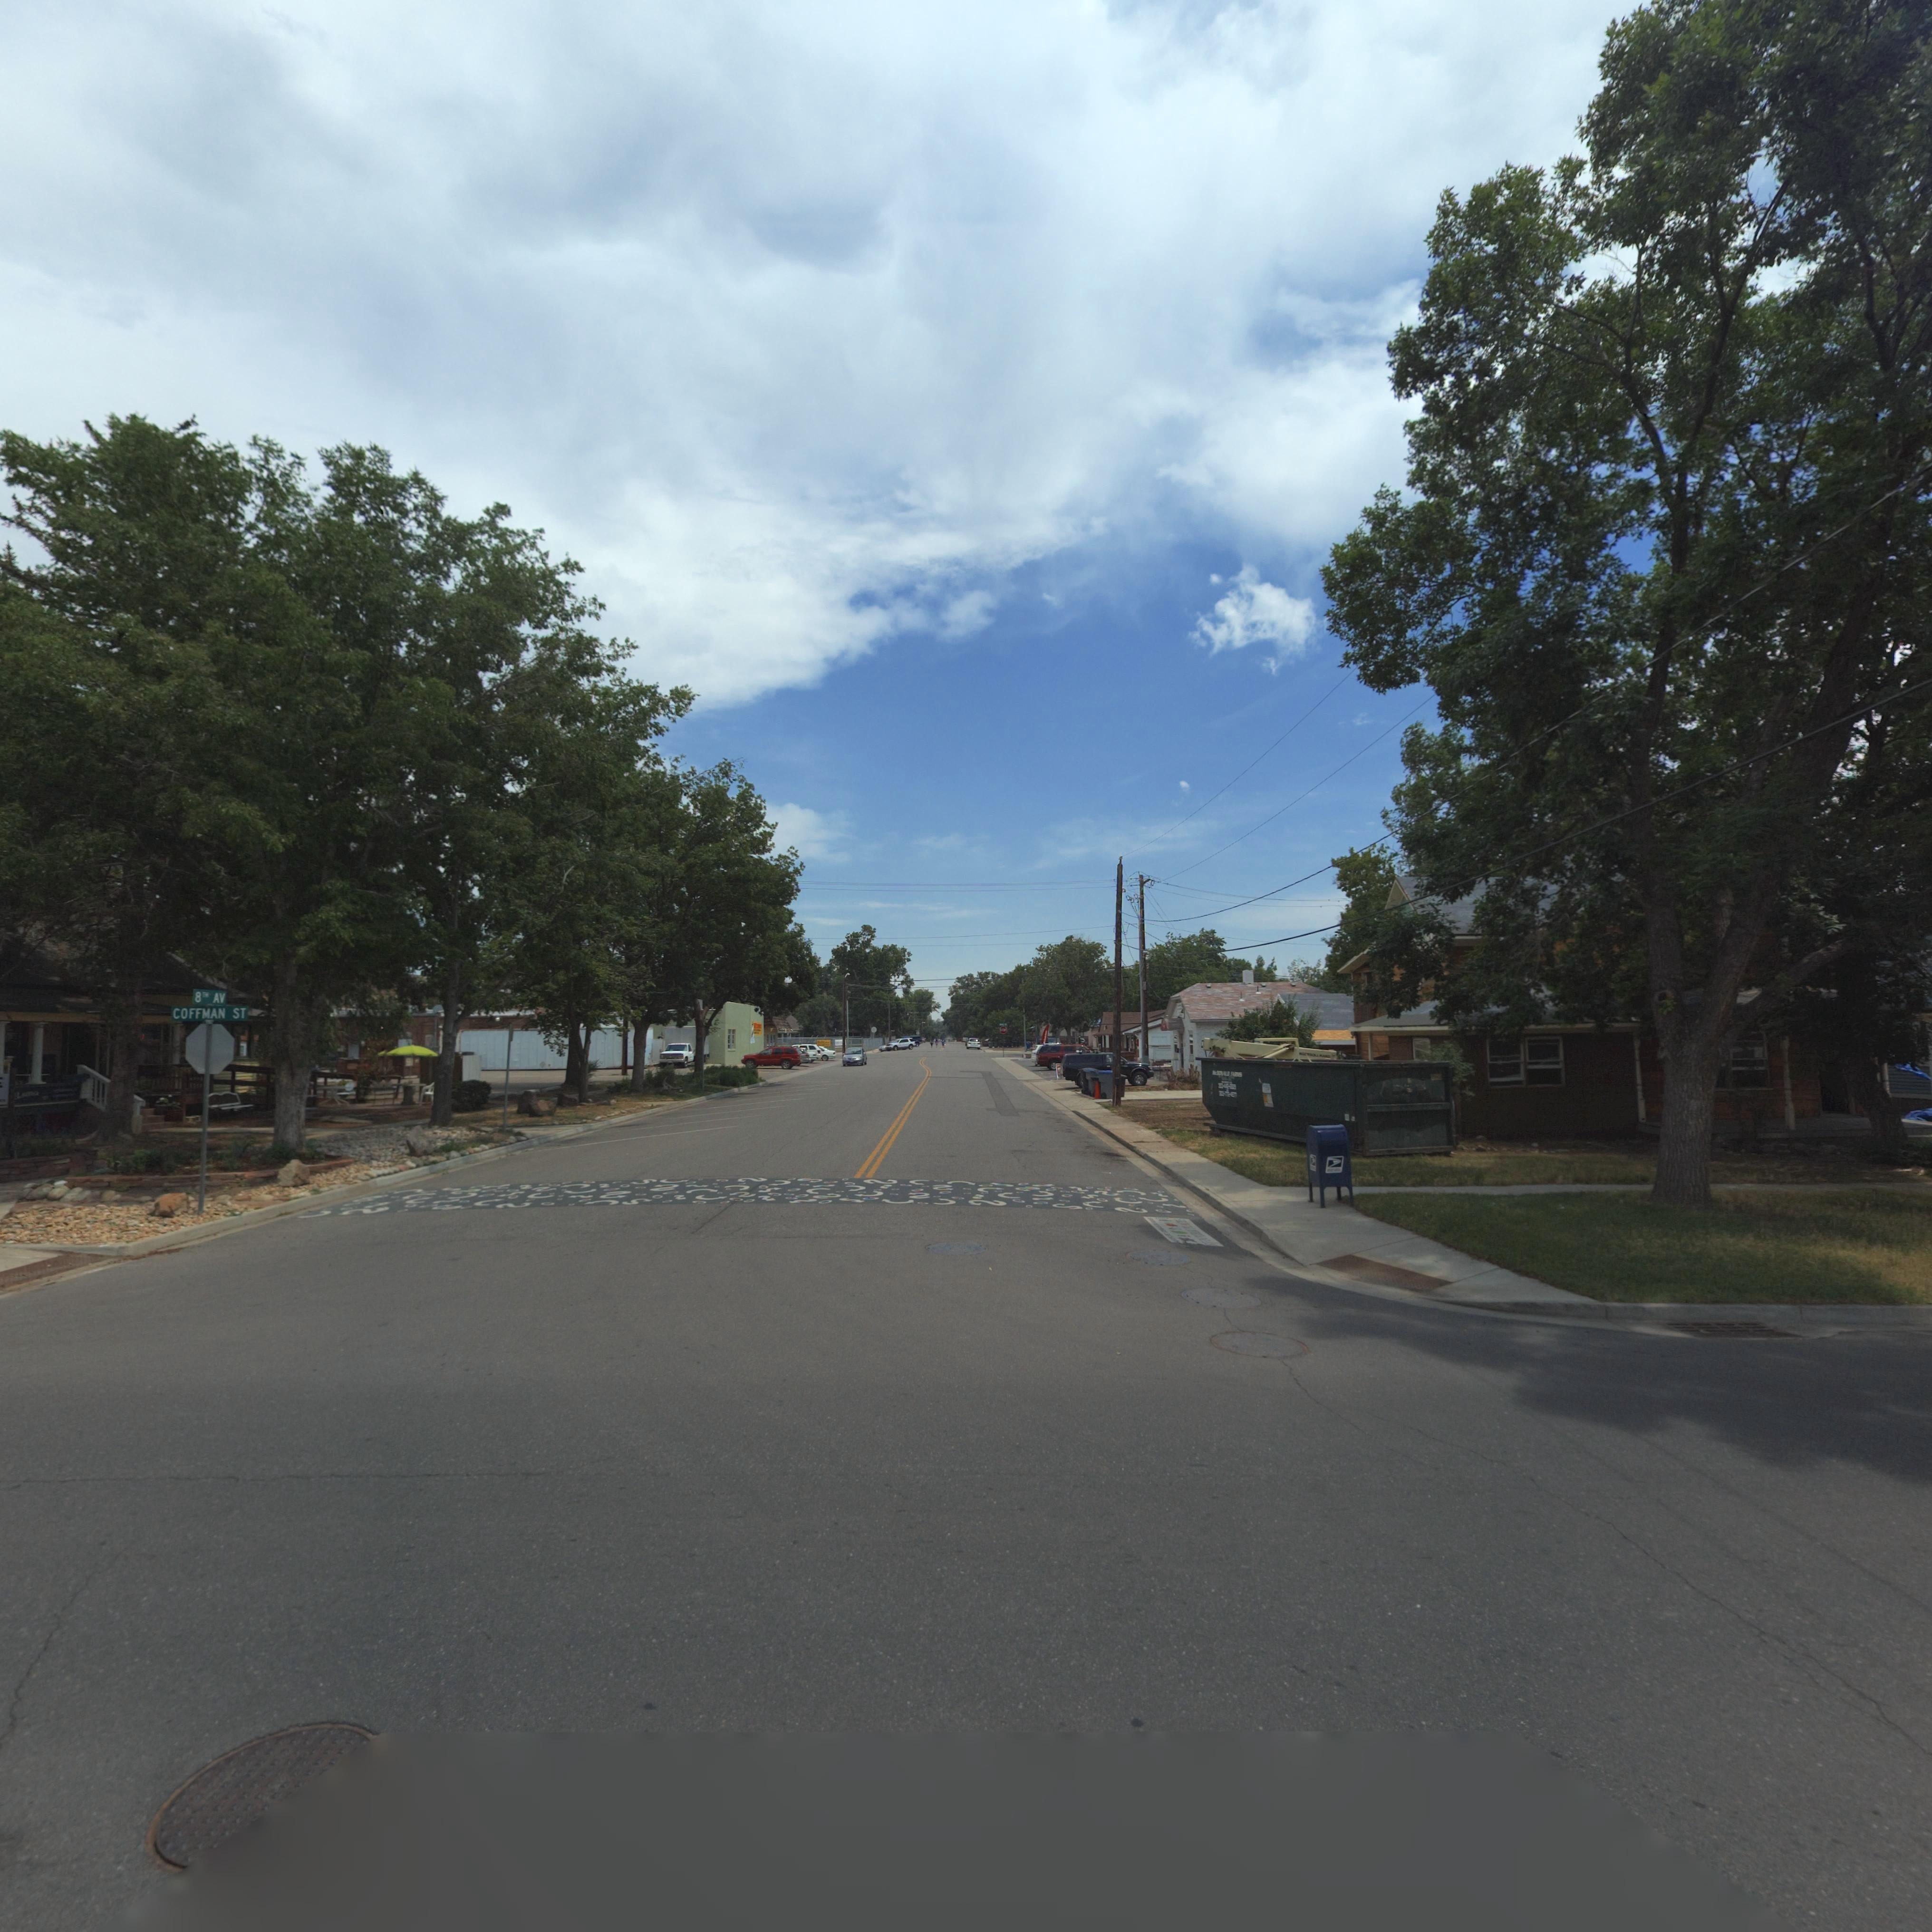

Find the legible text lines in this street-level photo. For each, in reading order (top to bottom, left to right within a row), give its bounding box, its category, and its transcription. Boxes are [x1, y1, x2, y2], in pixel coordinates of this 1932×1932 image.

[194, 991, 225, 1003] StreetName: 8TH AV
[173, 1007, 247, 1019] StreetName: COFFMAN ST